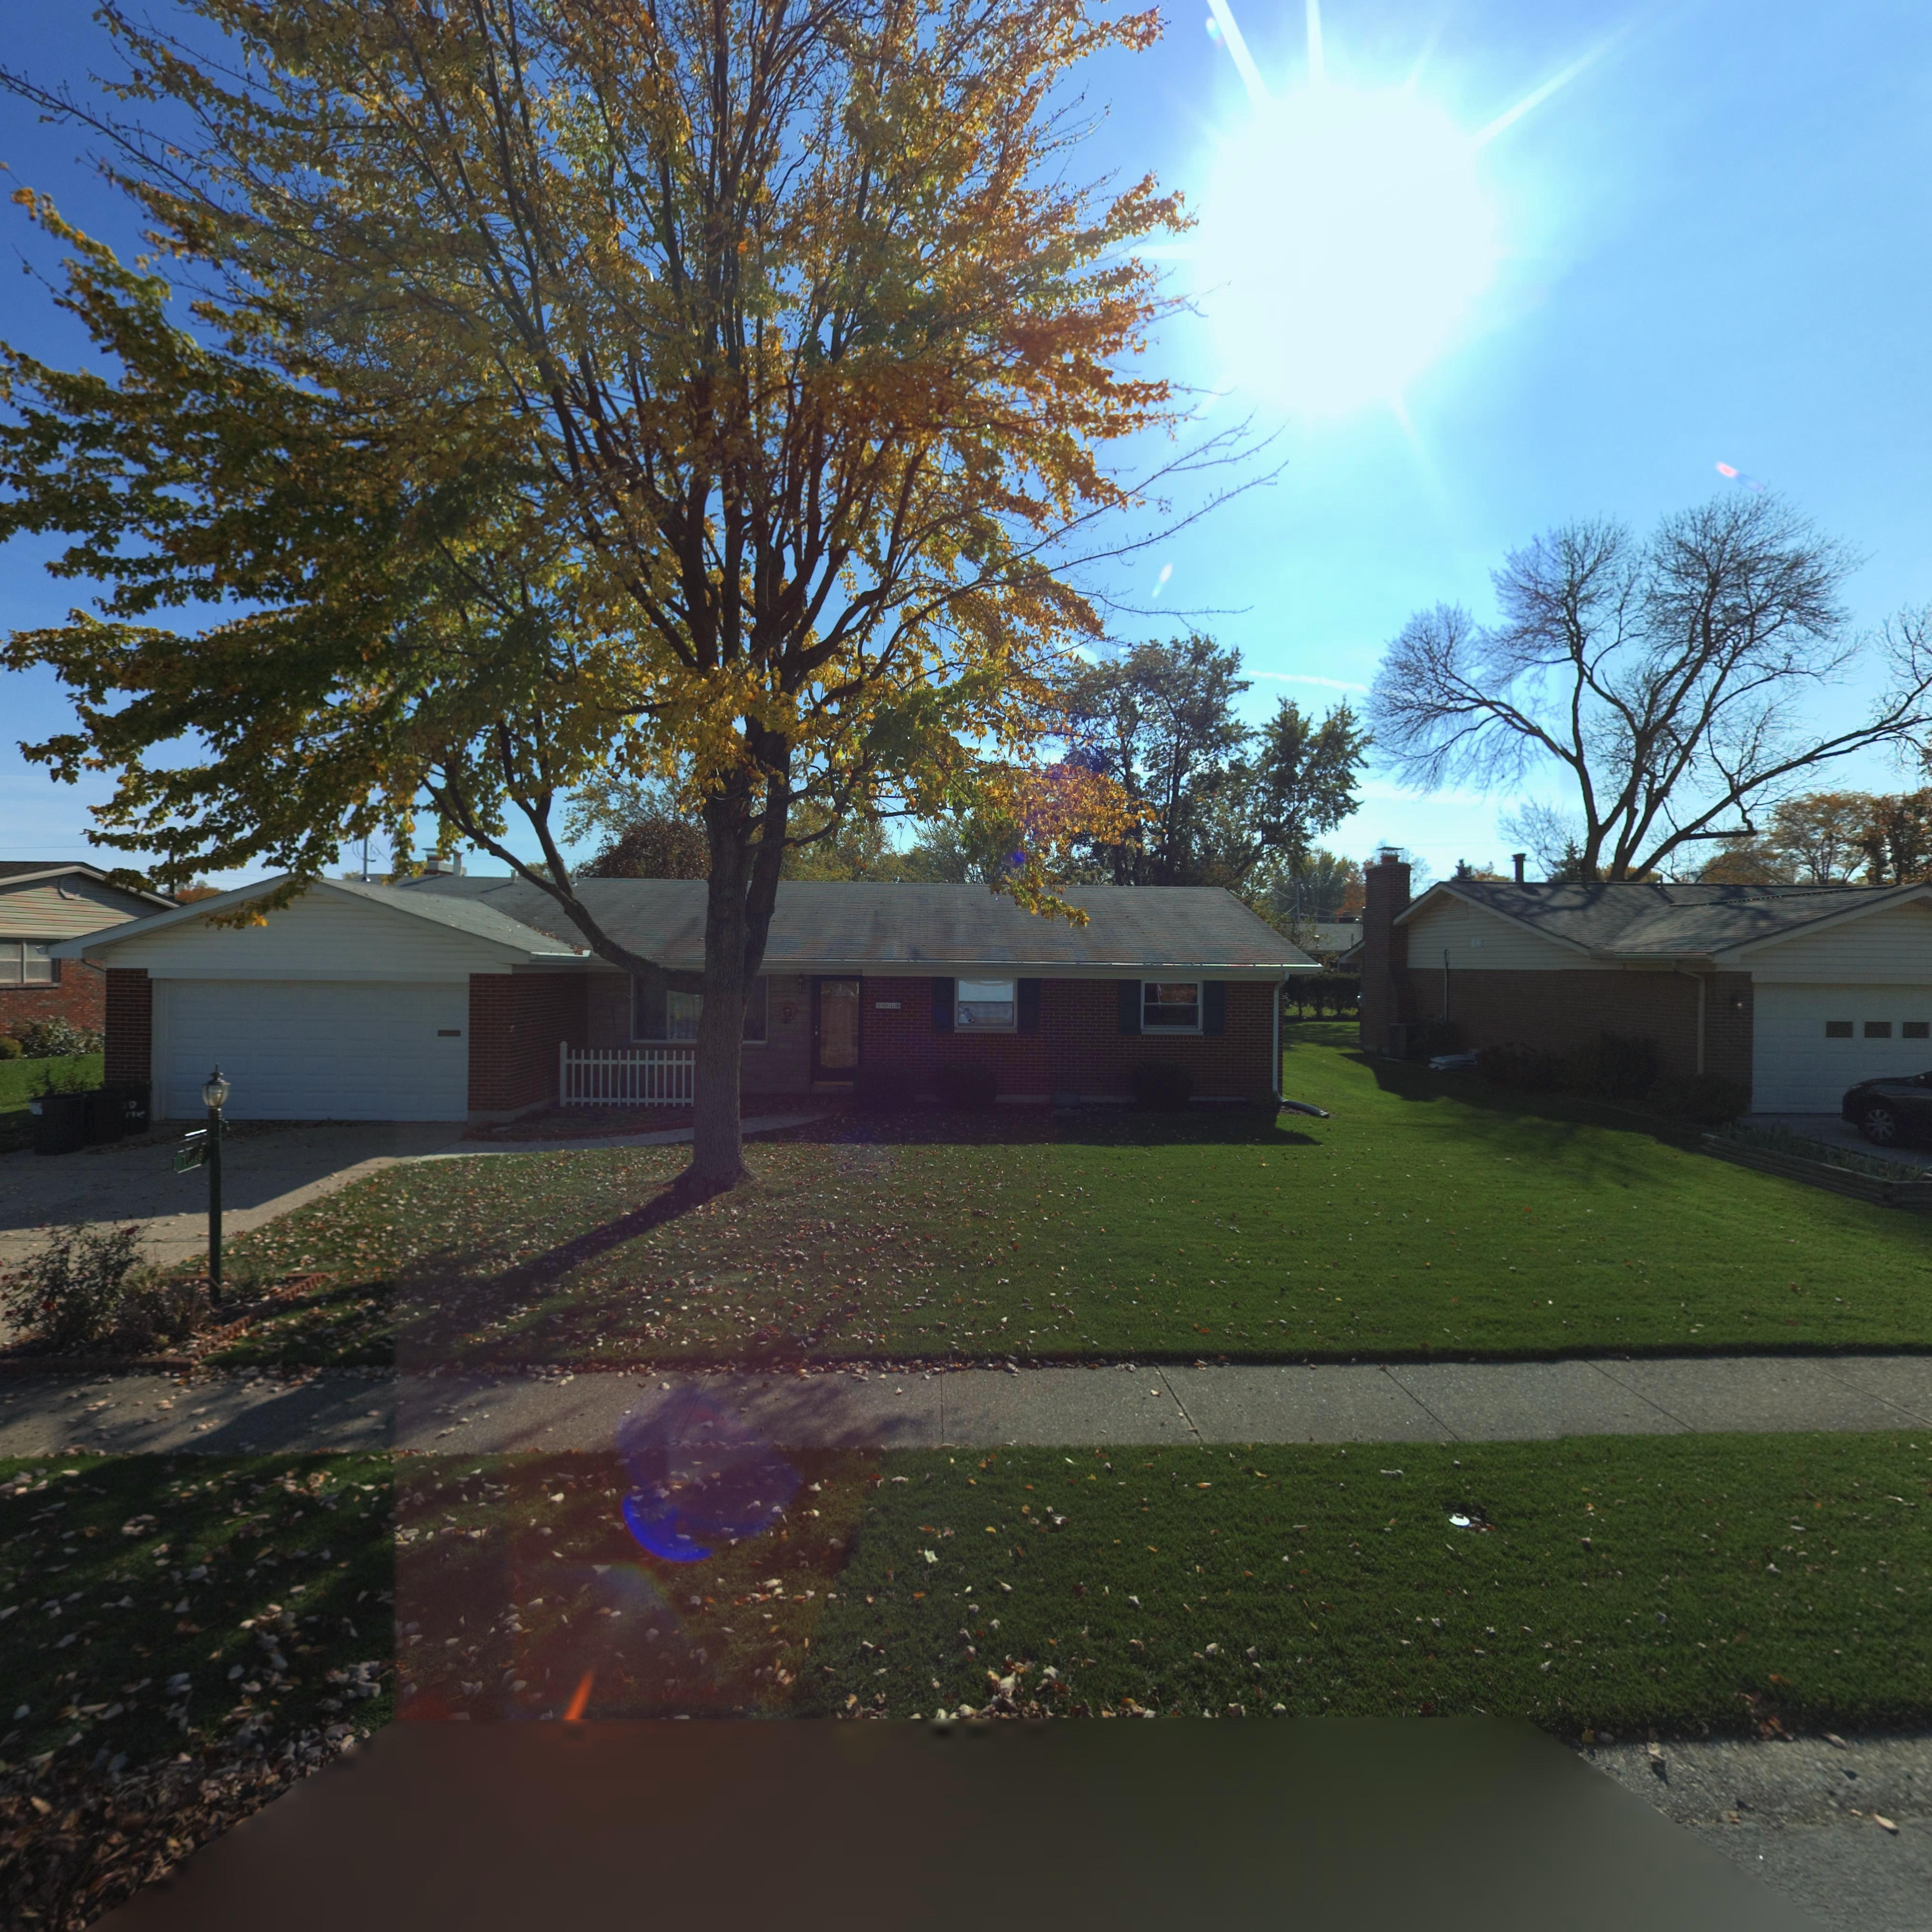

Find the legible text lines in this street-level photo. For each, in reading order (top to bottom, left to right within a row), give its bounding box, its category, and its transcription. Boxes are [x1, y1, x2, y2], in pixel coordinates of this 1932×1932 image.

[877, 1003, 900, 1008] StreetNumber: 1018
[181, 1148, 204, 1168] StreetNumber: 1018